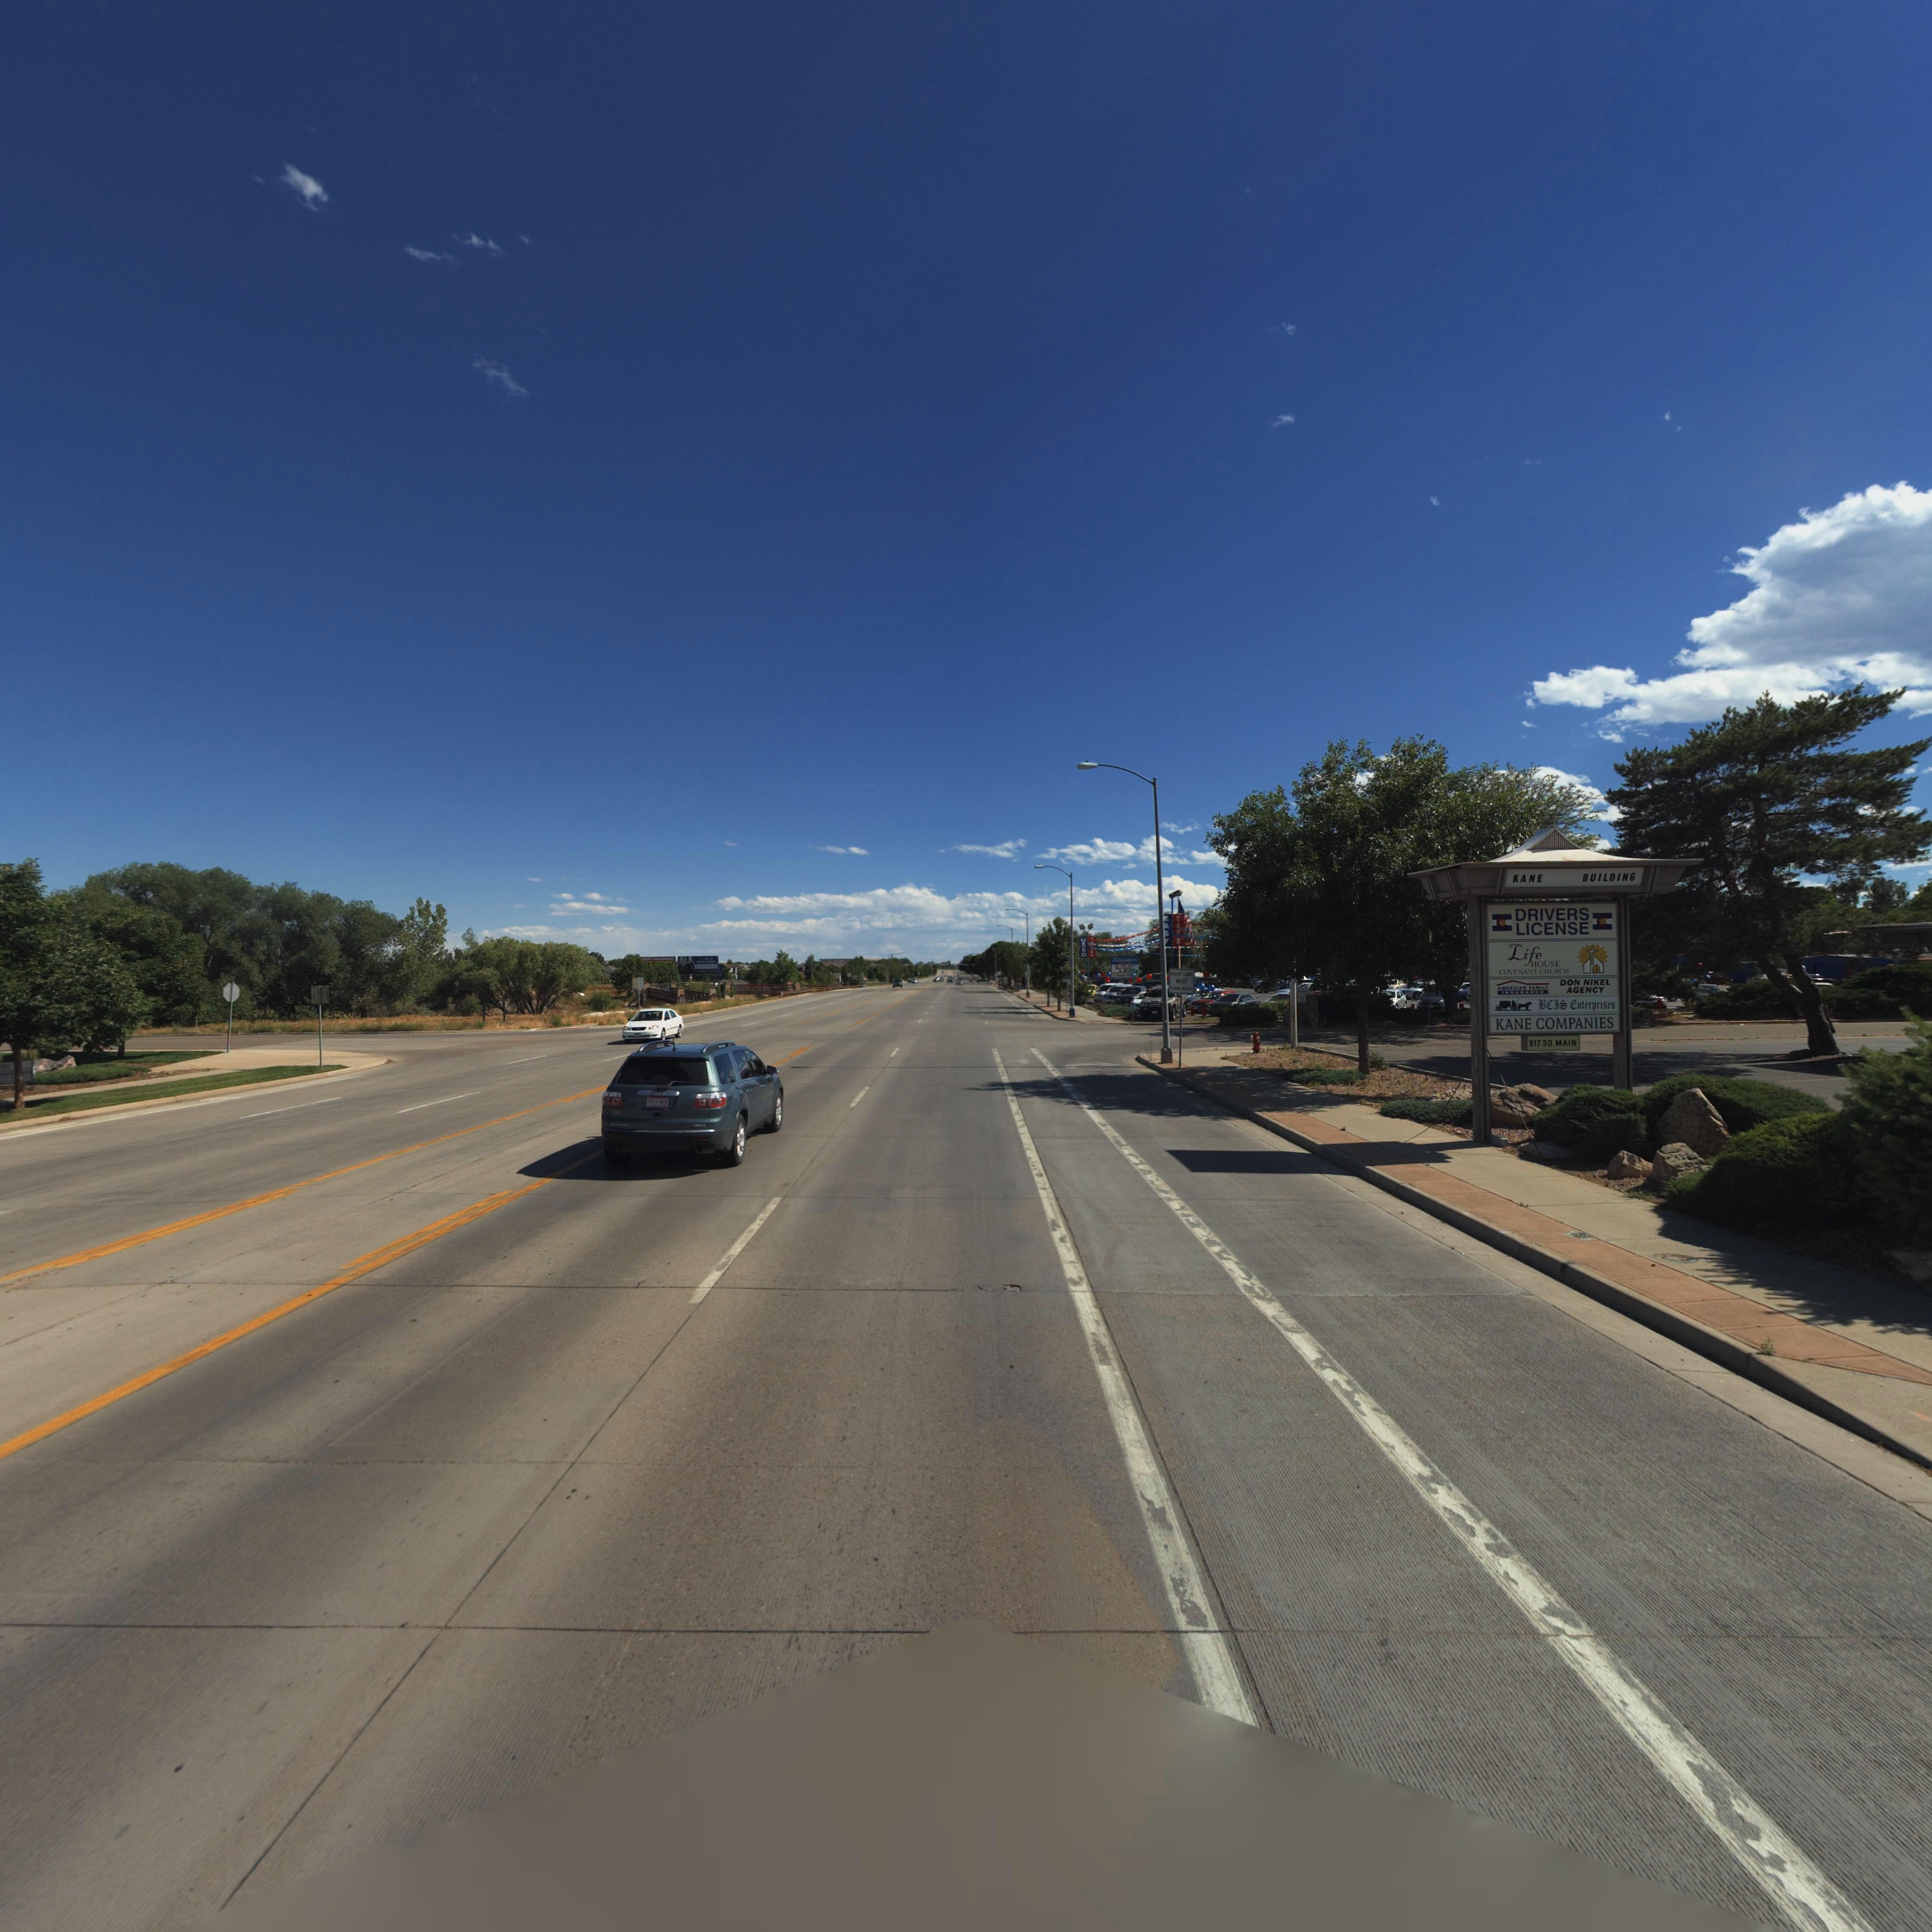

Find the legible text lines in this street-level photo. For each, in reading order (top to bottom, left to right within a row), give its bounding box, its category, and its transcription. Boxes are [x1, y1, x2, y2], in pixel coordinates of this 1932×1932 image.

[1512, 871, 1637, 883] BusinessName: KANE BUILDING
[1506, 941, 1543, 966] BusinessName: Life
[1112, 956, 1137, 963] BusinessName: Sp*i*kler
[1530, 960, 1561, 968] BusinessName: HOUSE
[1498, 968, 1570, 975] BusinessName: COVENANT CHURCH
[1497, 985, 1548, 990] BusinessName: AM*RICAN FAMILY
[1501, 990, 1544, 994] BusinessName: INSURANCE
[1537, 998, 1616, 1011] BusinessName: BCIS Enterprises
[1529, 1039, 1542, 1047] StreetNumber: 917
[1542, 1039, 1577, 1047] StreetName: SO. MAIN